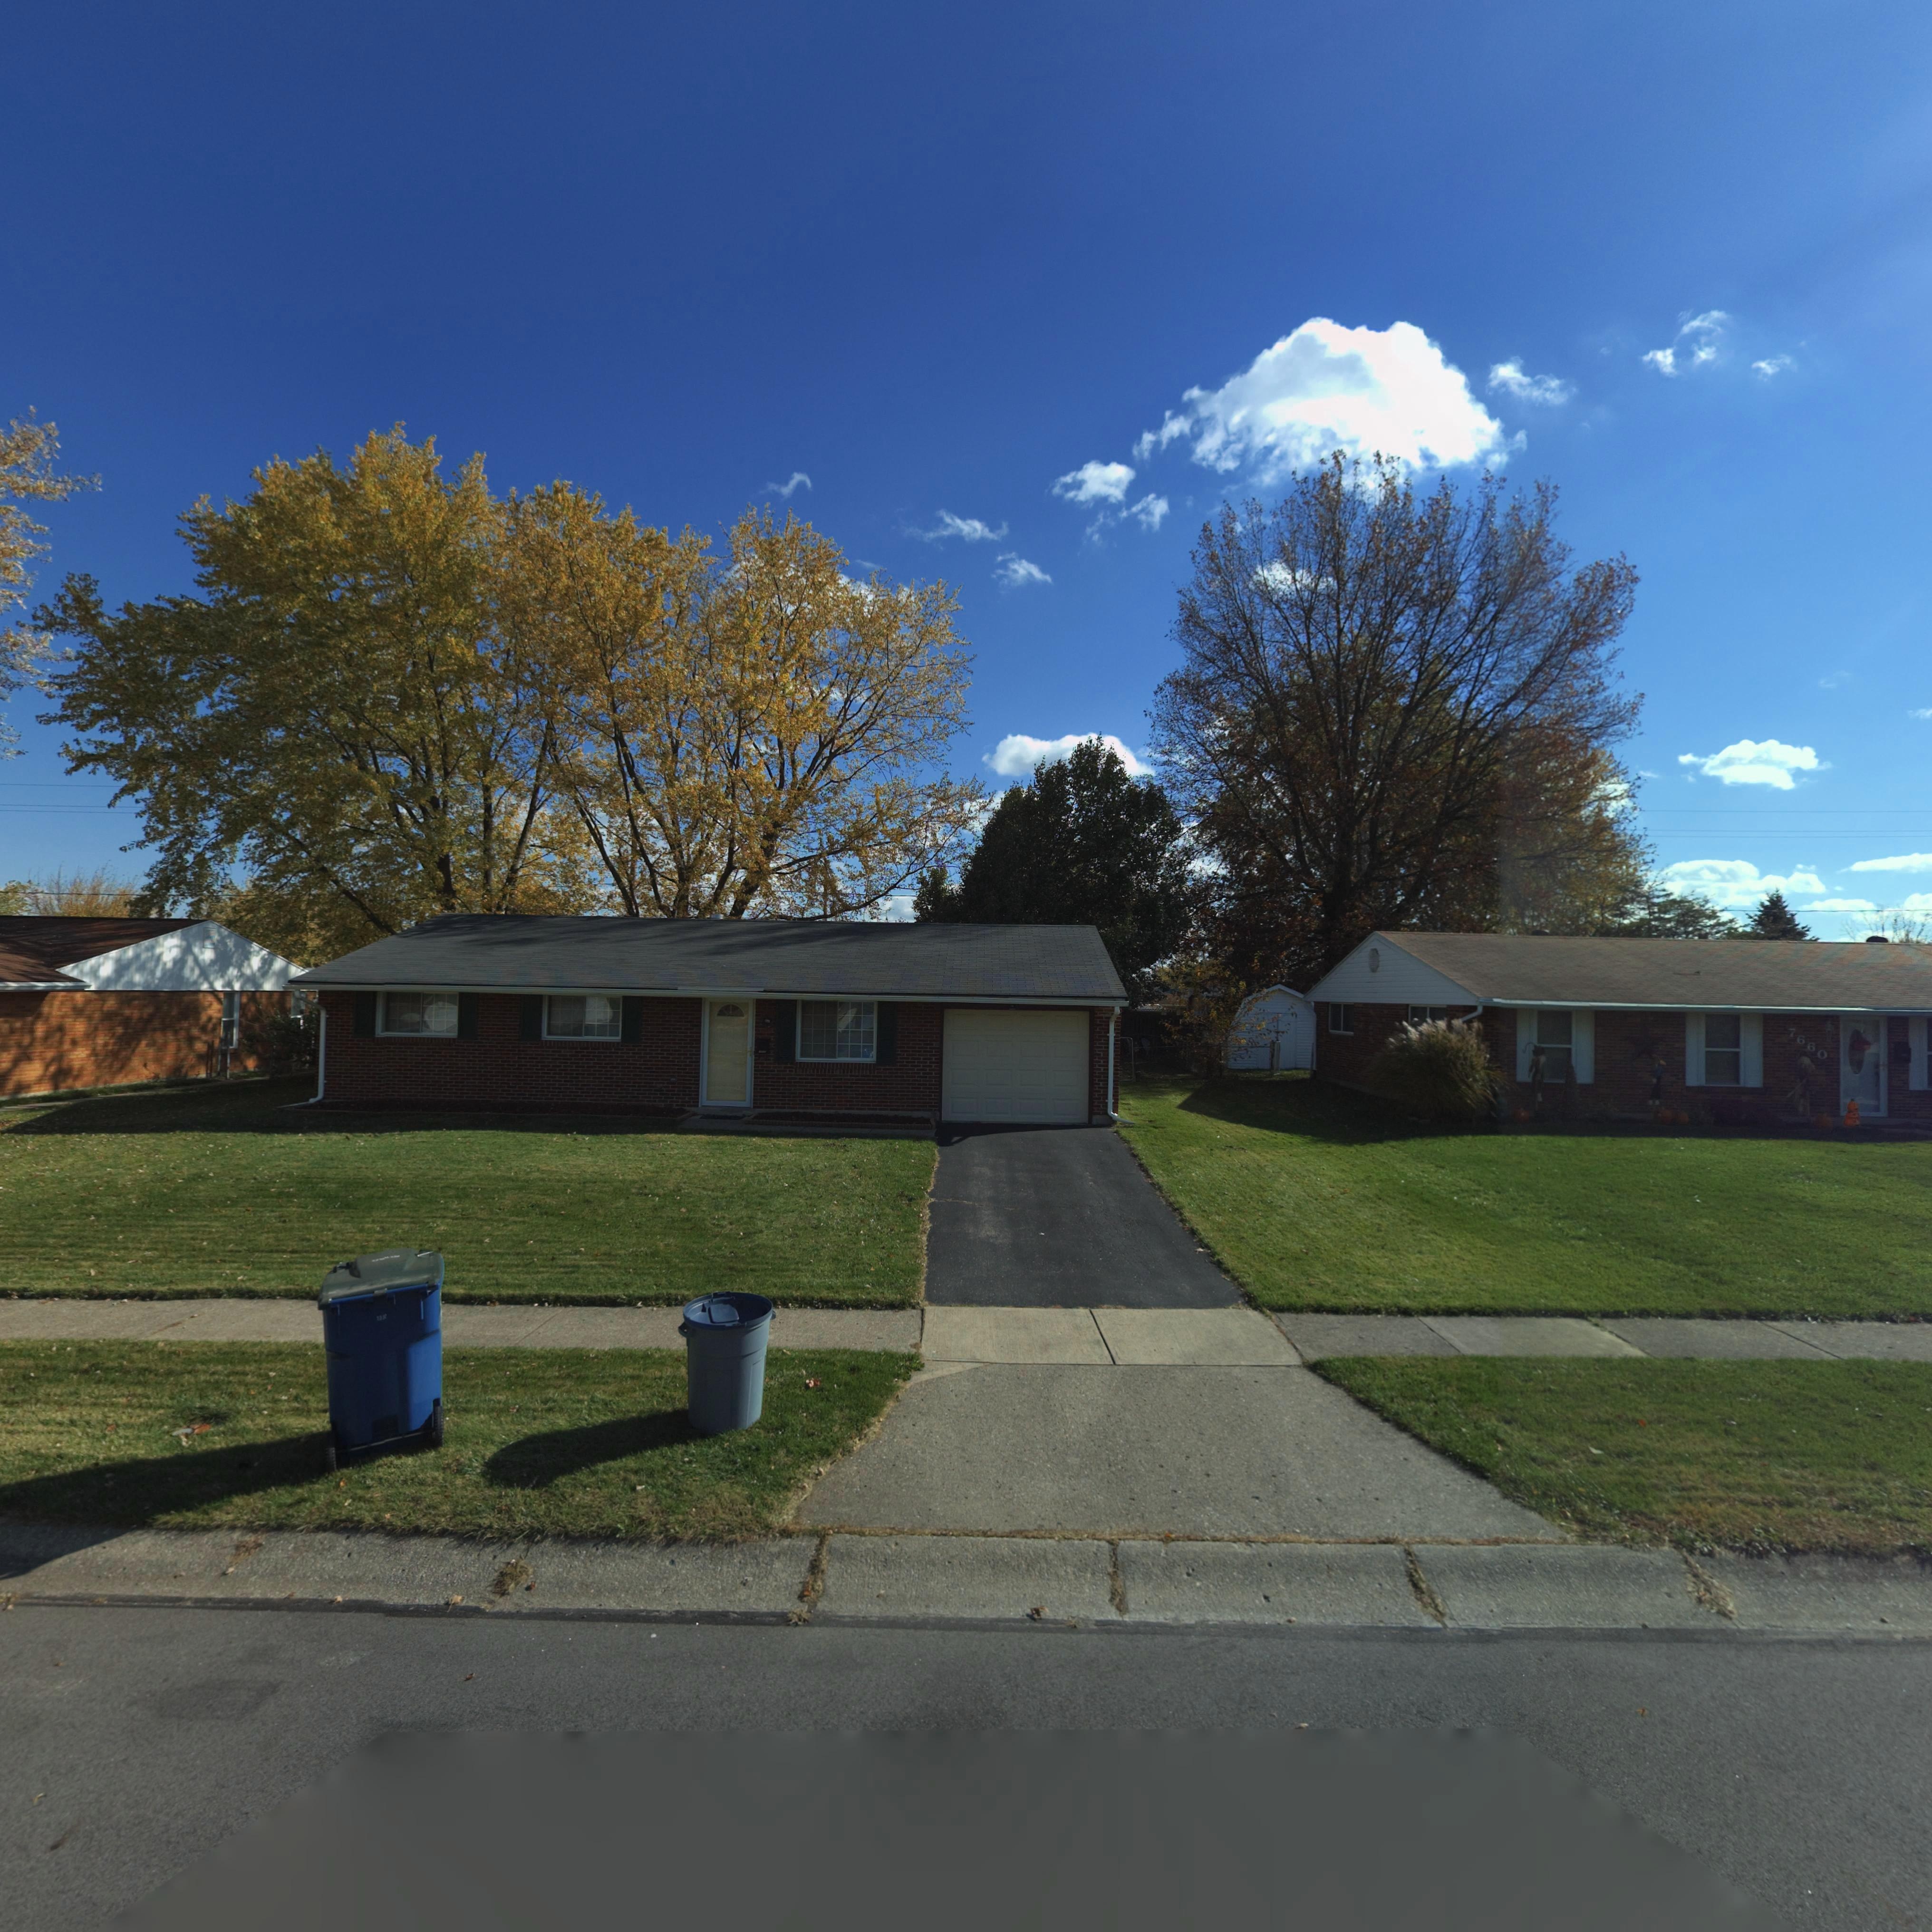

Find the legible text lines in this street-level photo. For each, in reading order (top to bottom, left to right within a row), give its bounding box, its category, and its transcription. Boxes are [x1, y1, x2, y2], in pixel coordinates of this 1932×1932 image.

[1787, 1027, 1829, 1061] StreetNumber: 7660